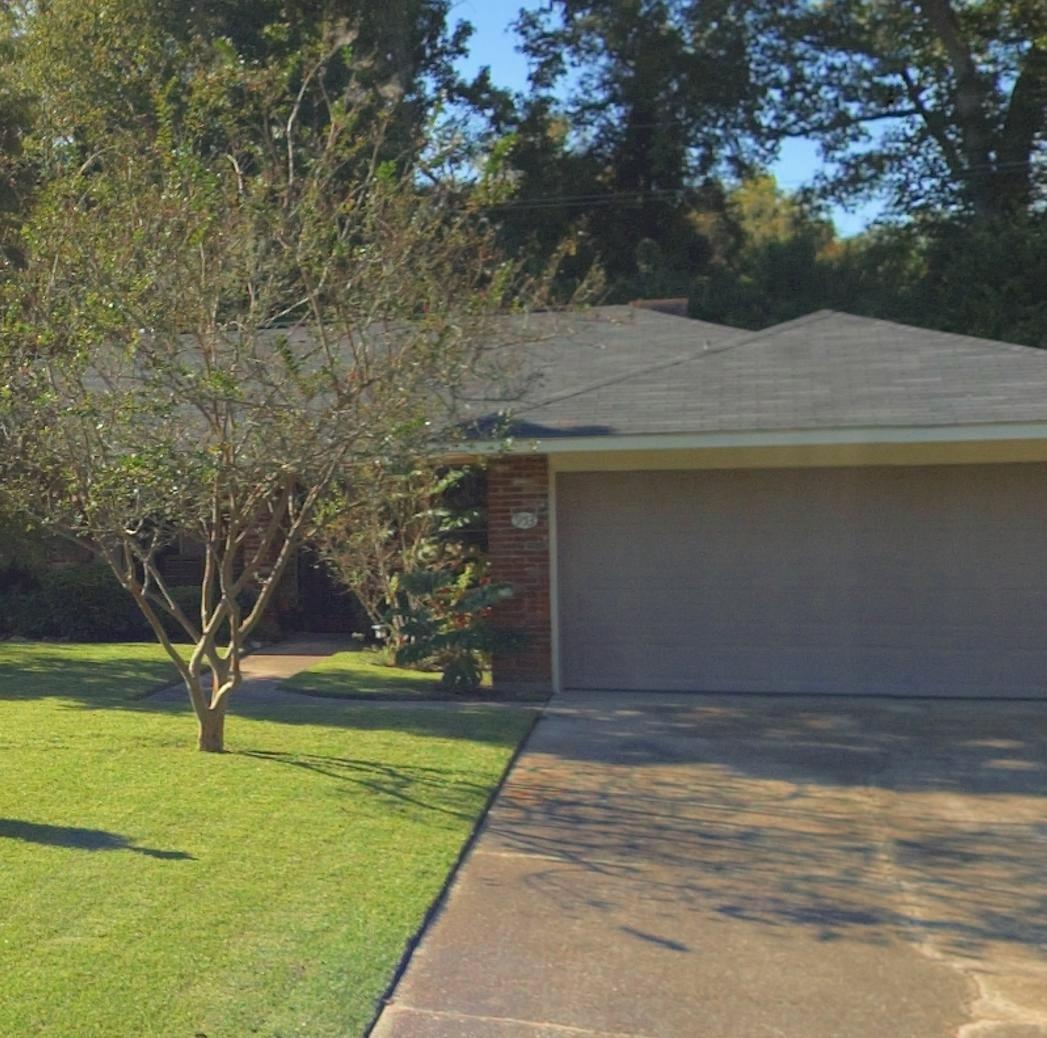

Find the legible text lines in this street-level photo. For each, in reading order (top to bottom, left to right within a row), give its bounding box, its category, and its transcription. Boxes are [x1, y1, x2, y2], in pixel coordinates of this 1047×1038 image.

[514, 514, 536, 527] StreetNumber: 953